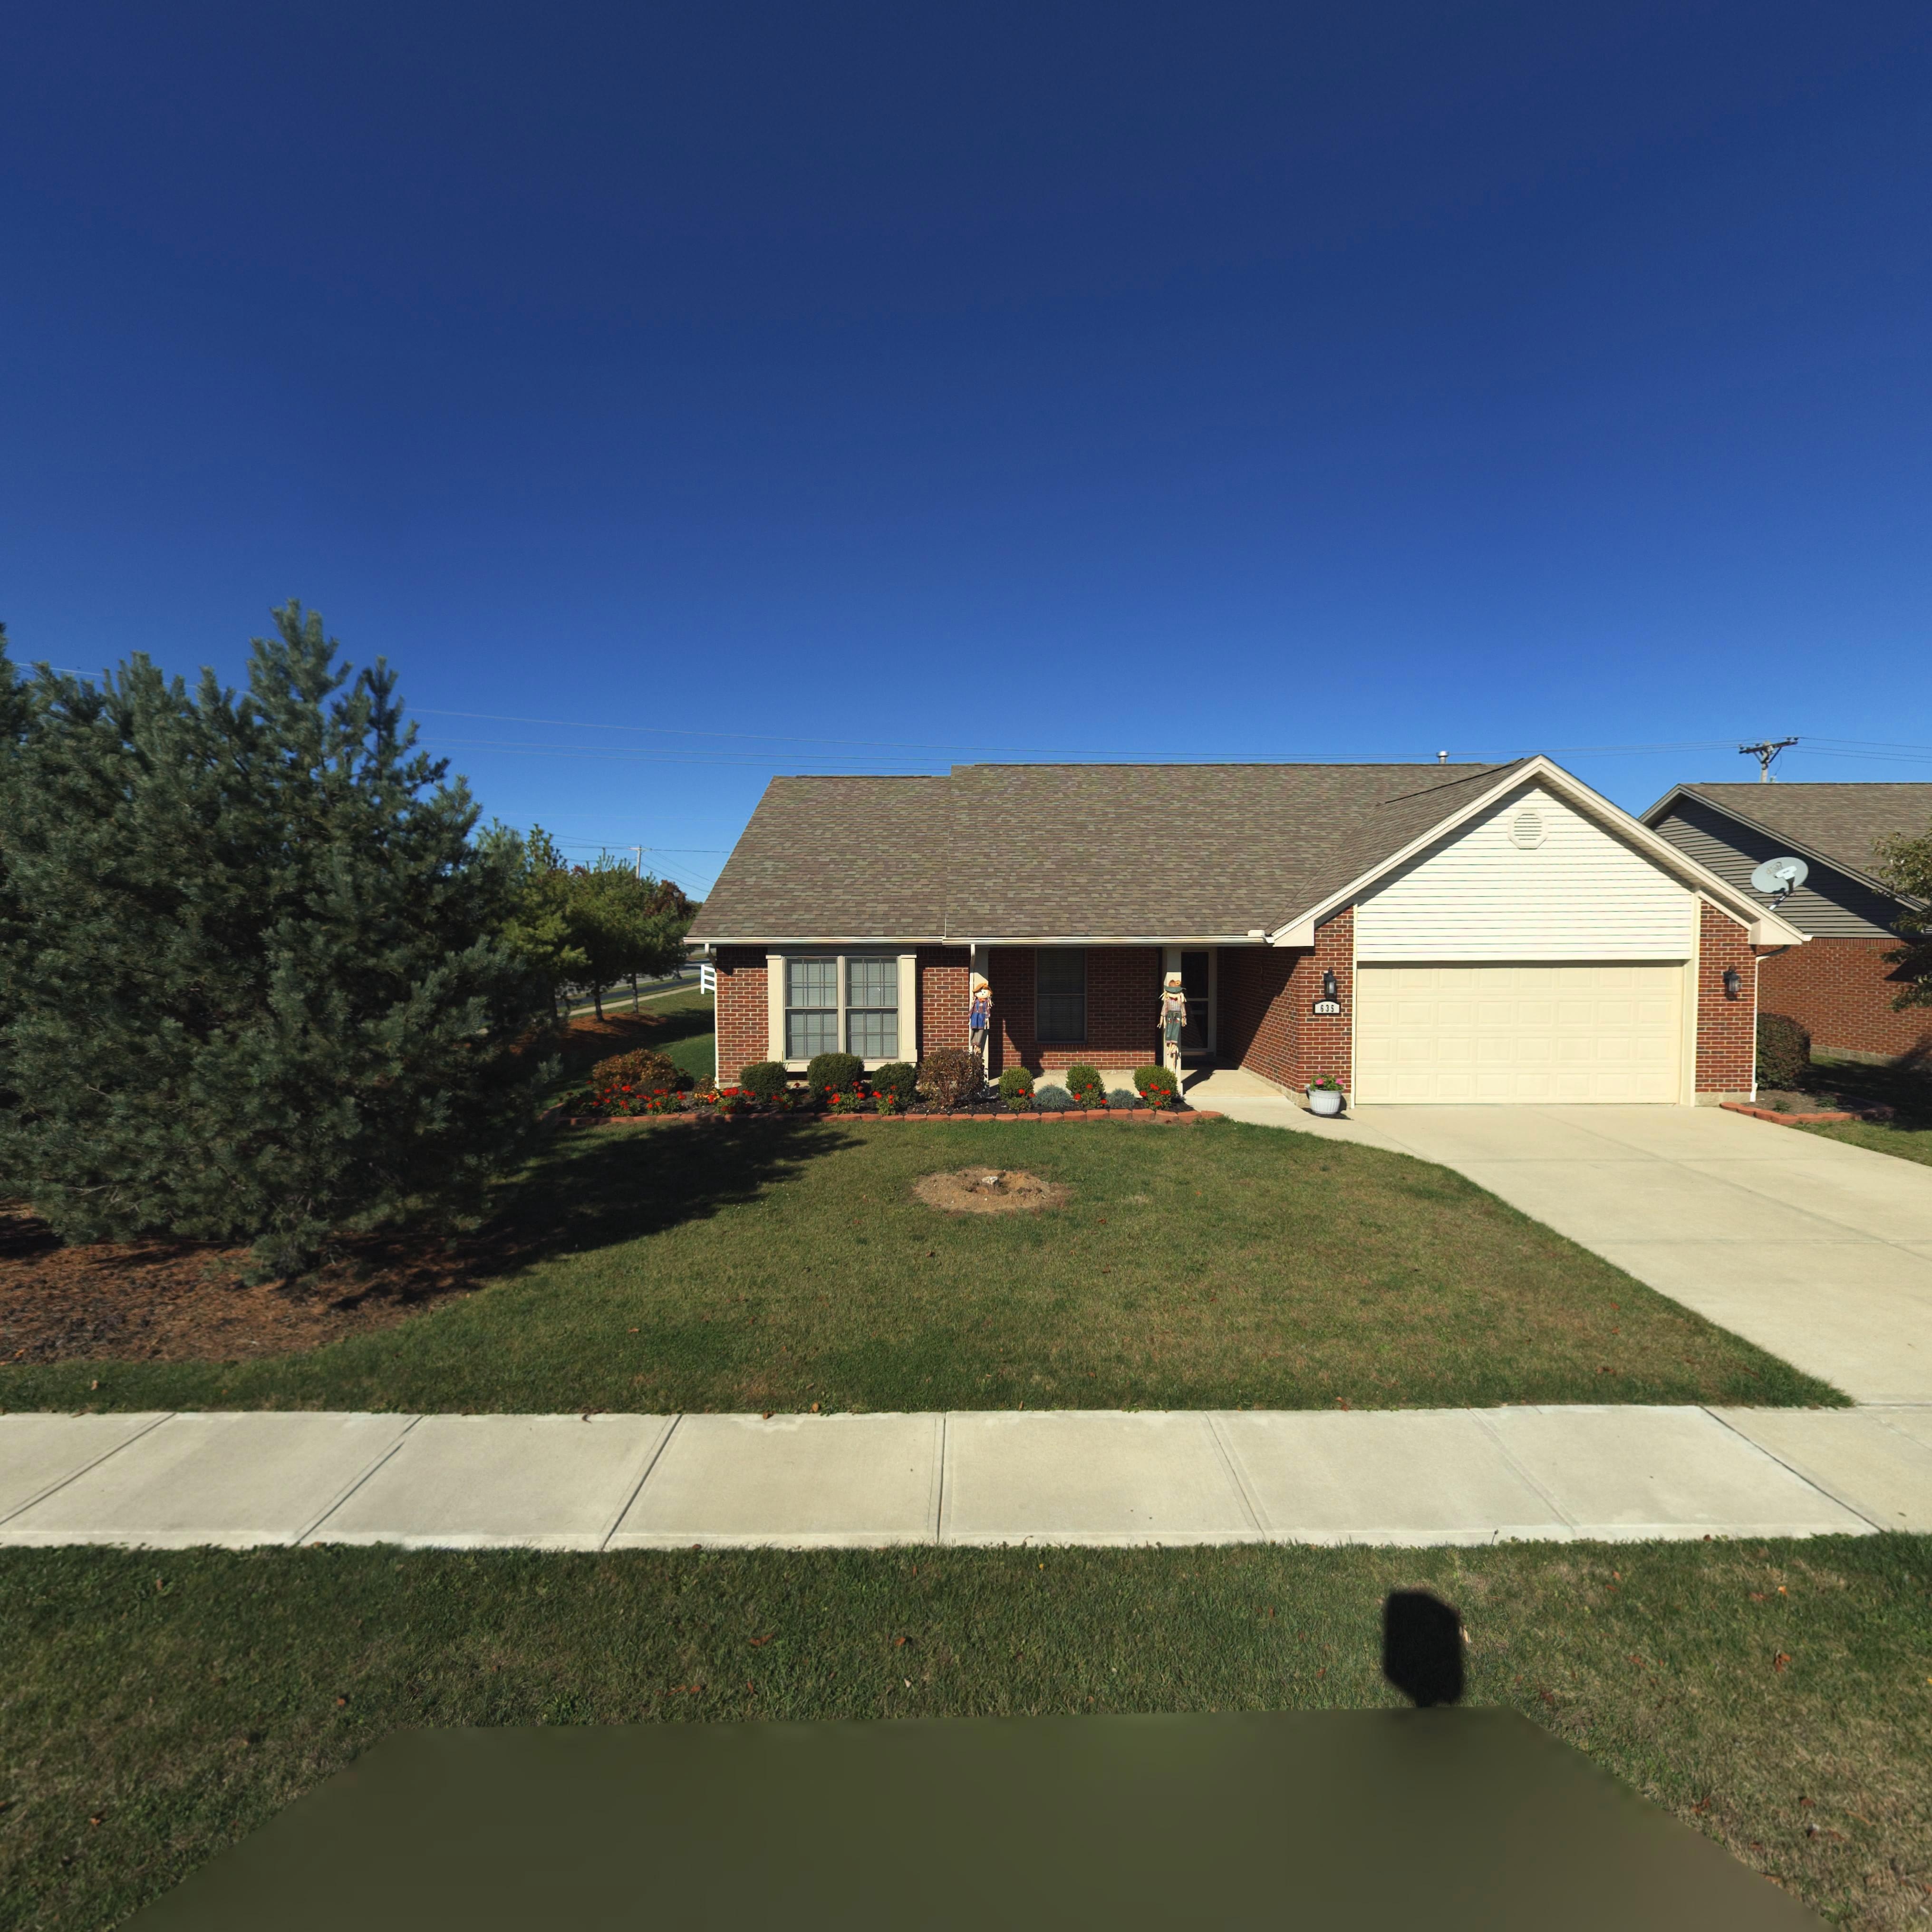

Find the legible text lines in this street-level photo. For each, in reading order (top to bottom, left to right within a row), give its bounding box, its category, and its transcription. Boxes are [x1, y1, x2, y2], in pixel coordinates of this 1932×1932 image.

[1319, 1004, 1335, 1014] StreetNumber: 635